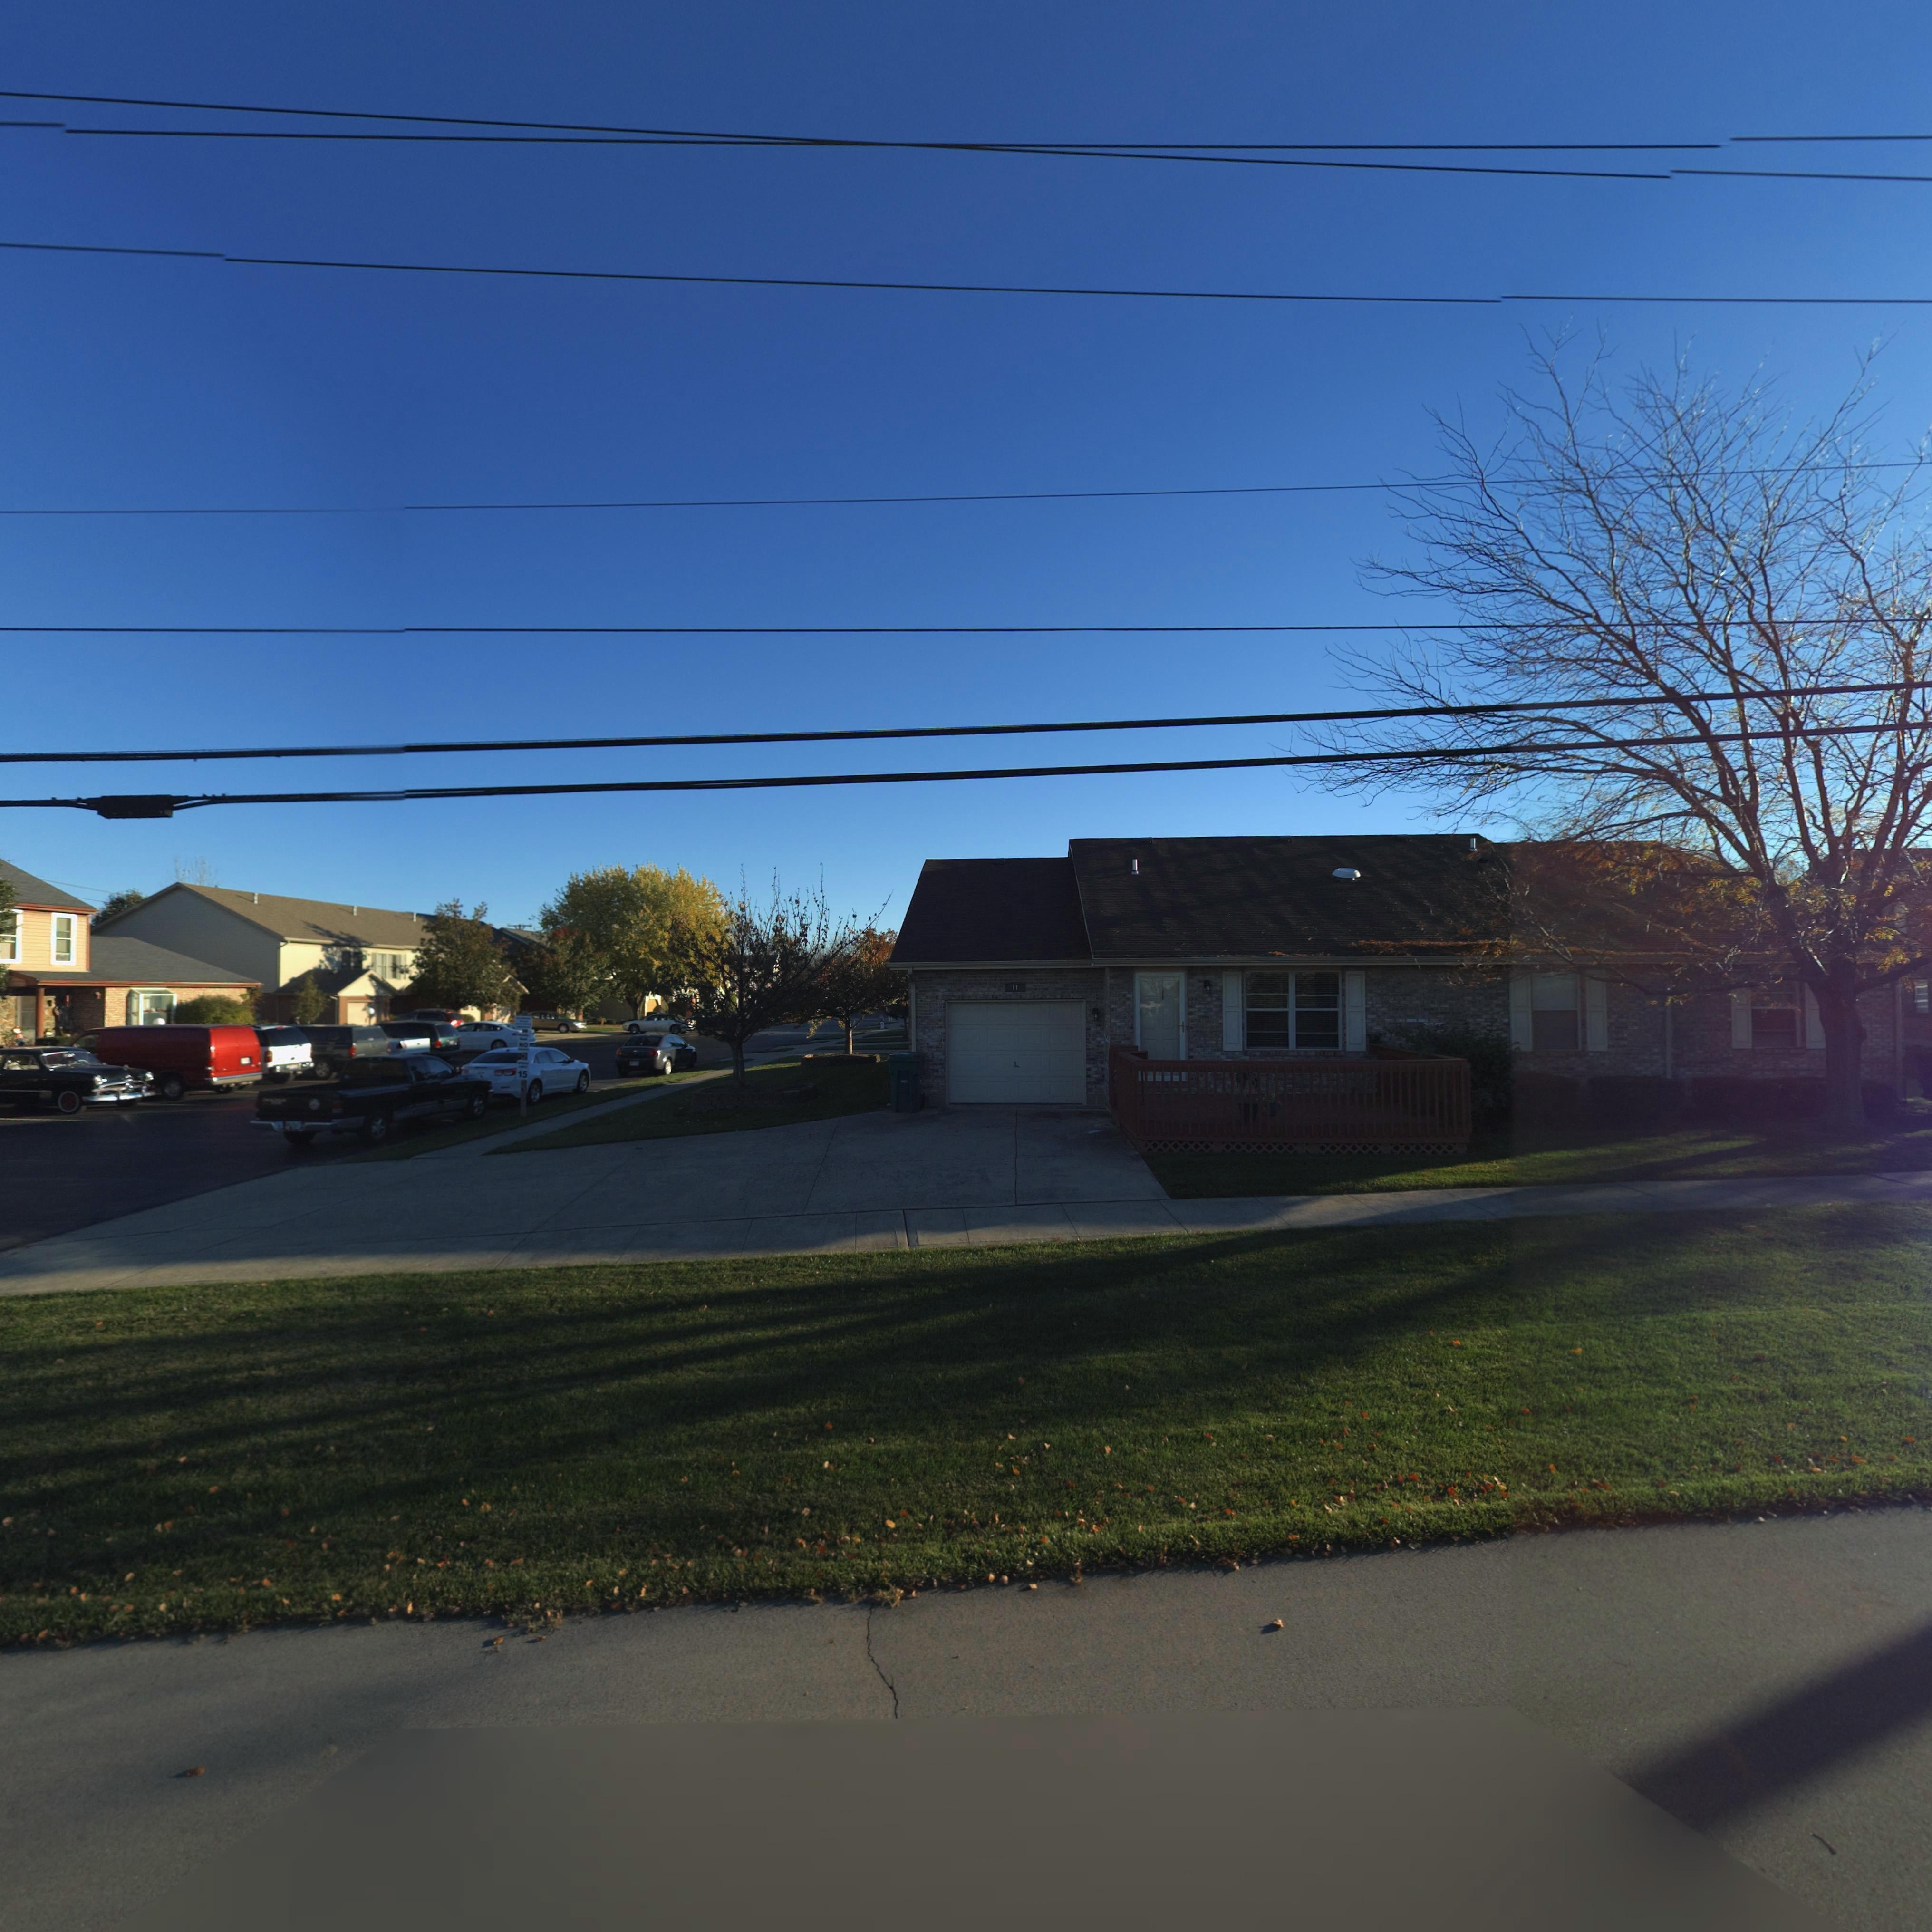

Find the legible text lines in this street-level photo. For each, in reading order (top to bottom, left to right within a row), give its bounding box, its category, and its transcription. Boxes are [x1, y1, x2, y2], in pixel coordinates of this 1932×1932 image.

[1011, 984, 1019, 991] StreetNumber: 11